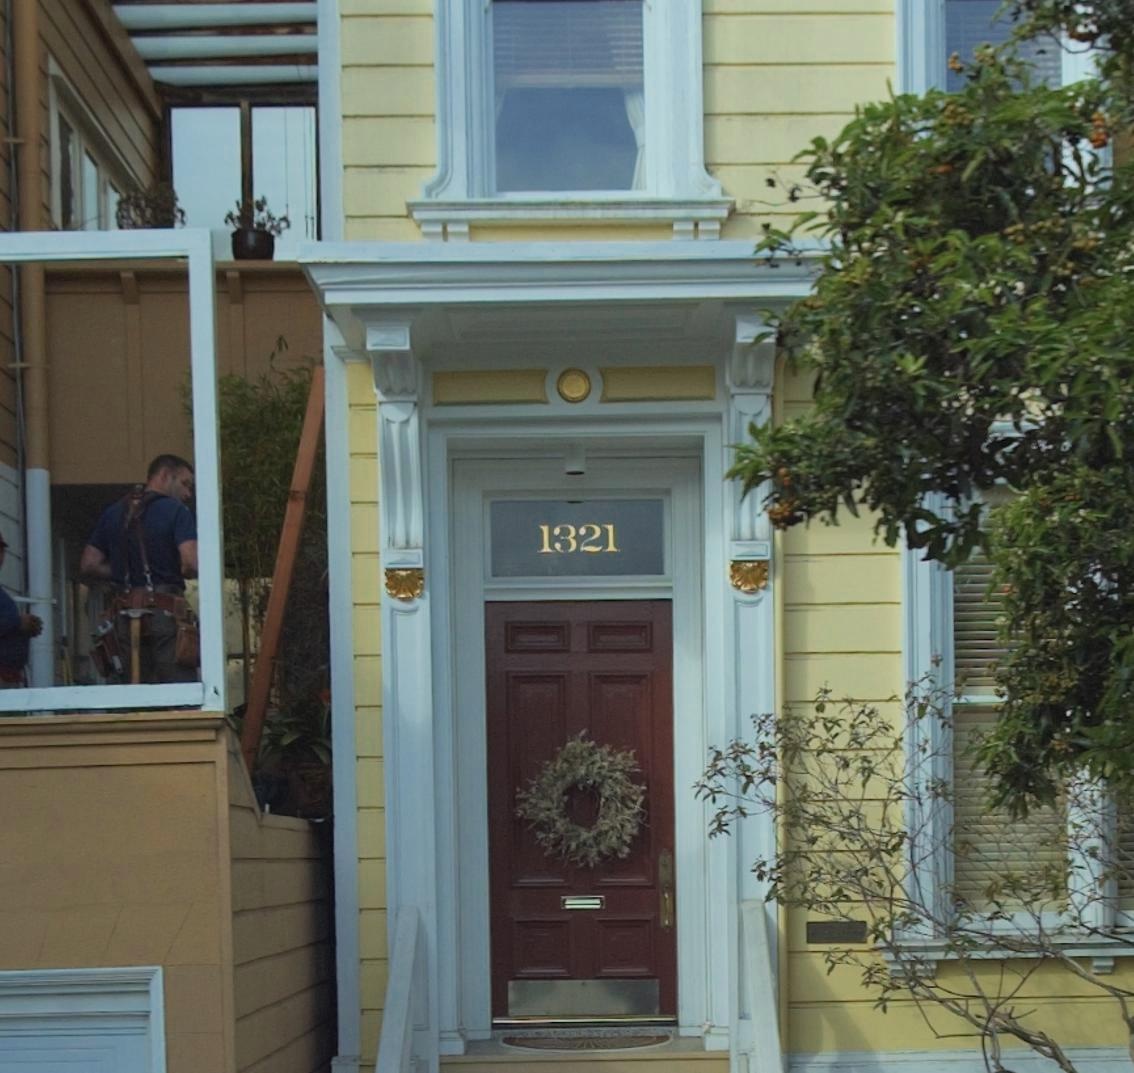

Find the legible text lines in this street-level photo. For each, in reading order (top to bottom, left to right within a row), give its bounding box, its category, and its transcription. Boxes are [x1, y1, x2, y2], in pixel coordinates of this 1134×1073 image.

[535, 521, 620, 555] StreetNumber: 1321